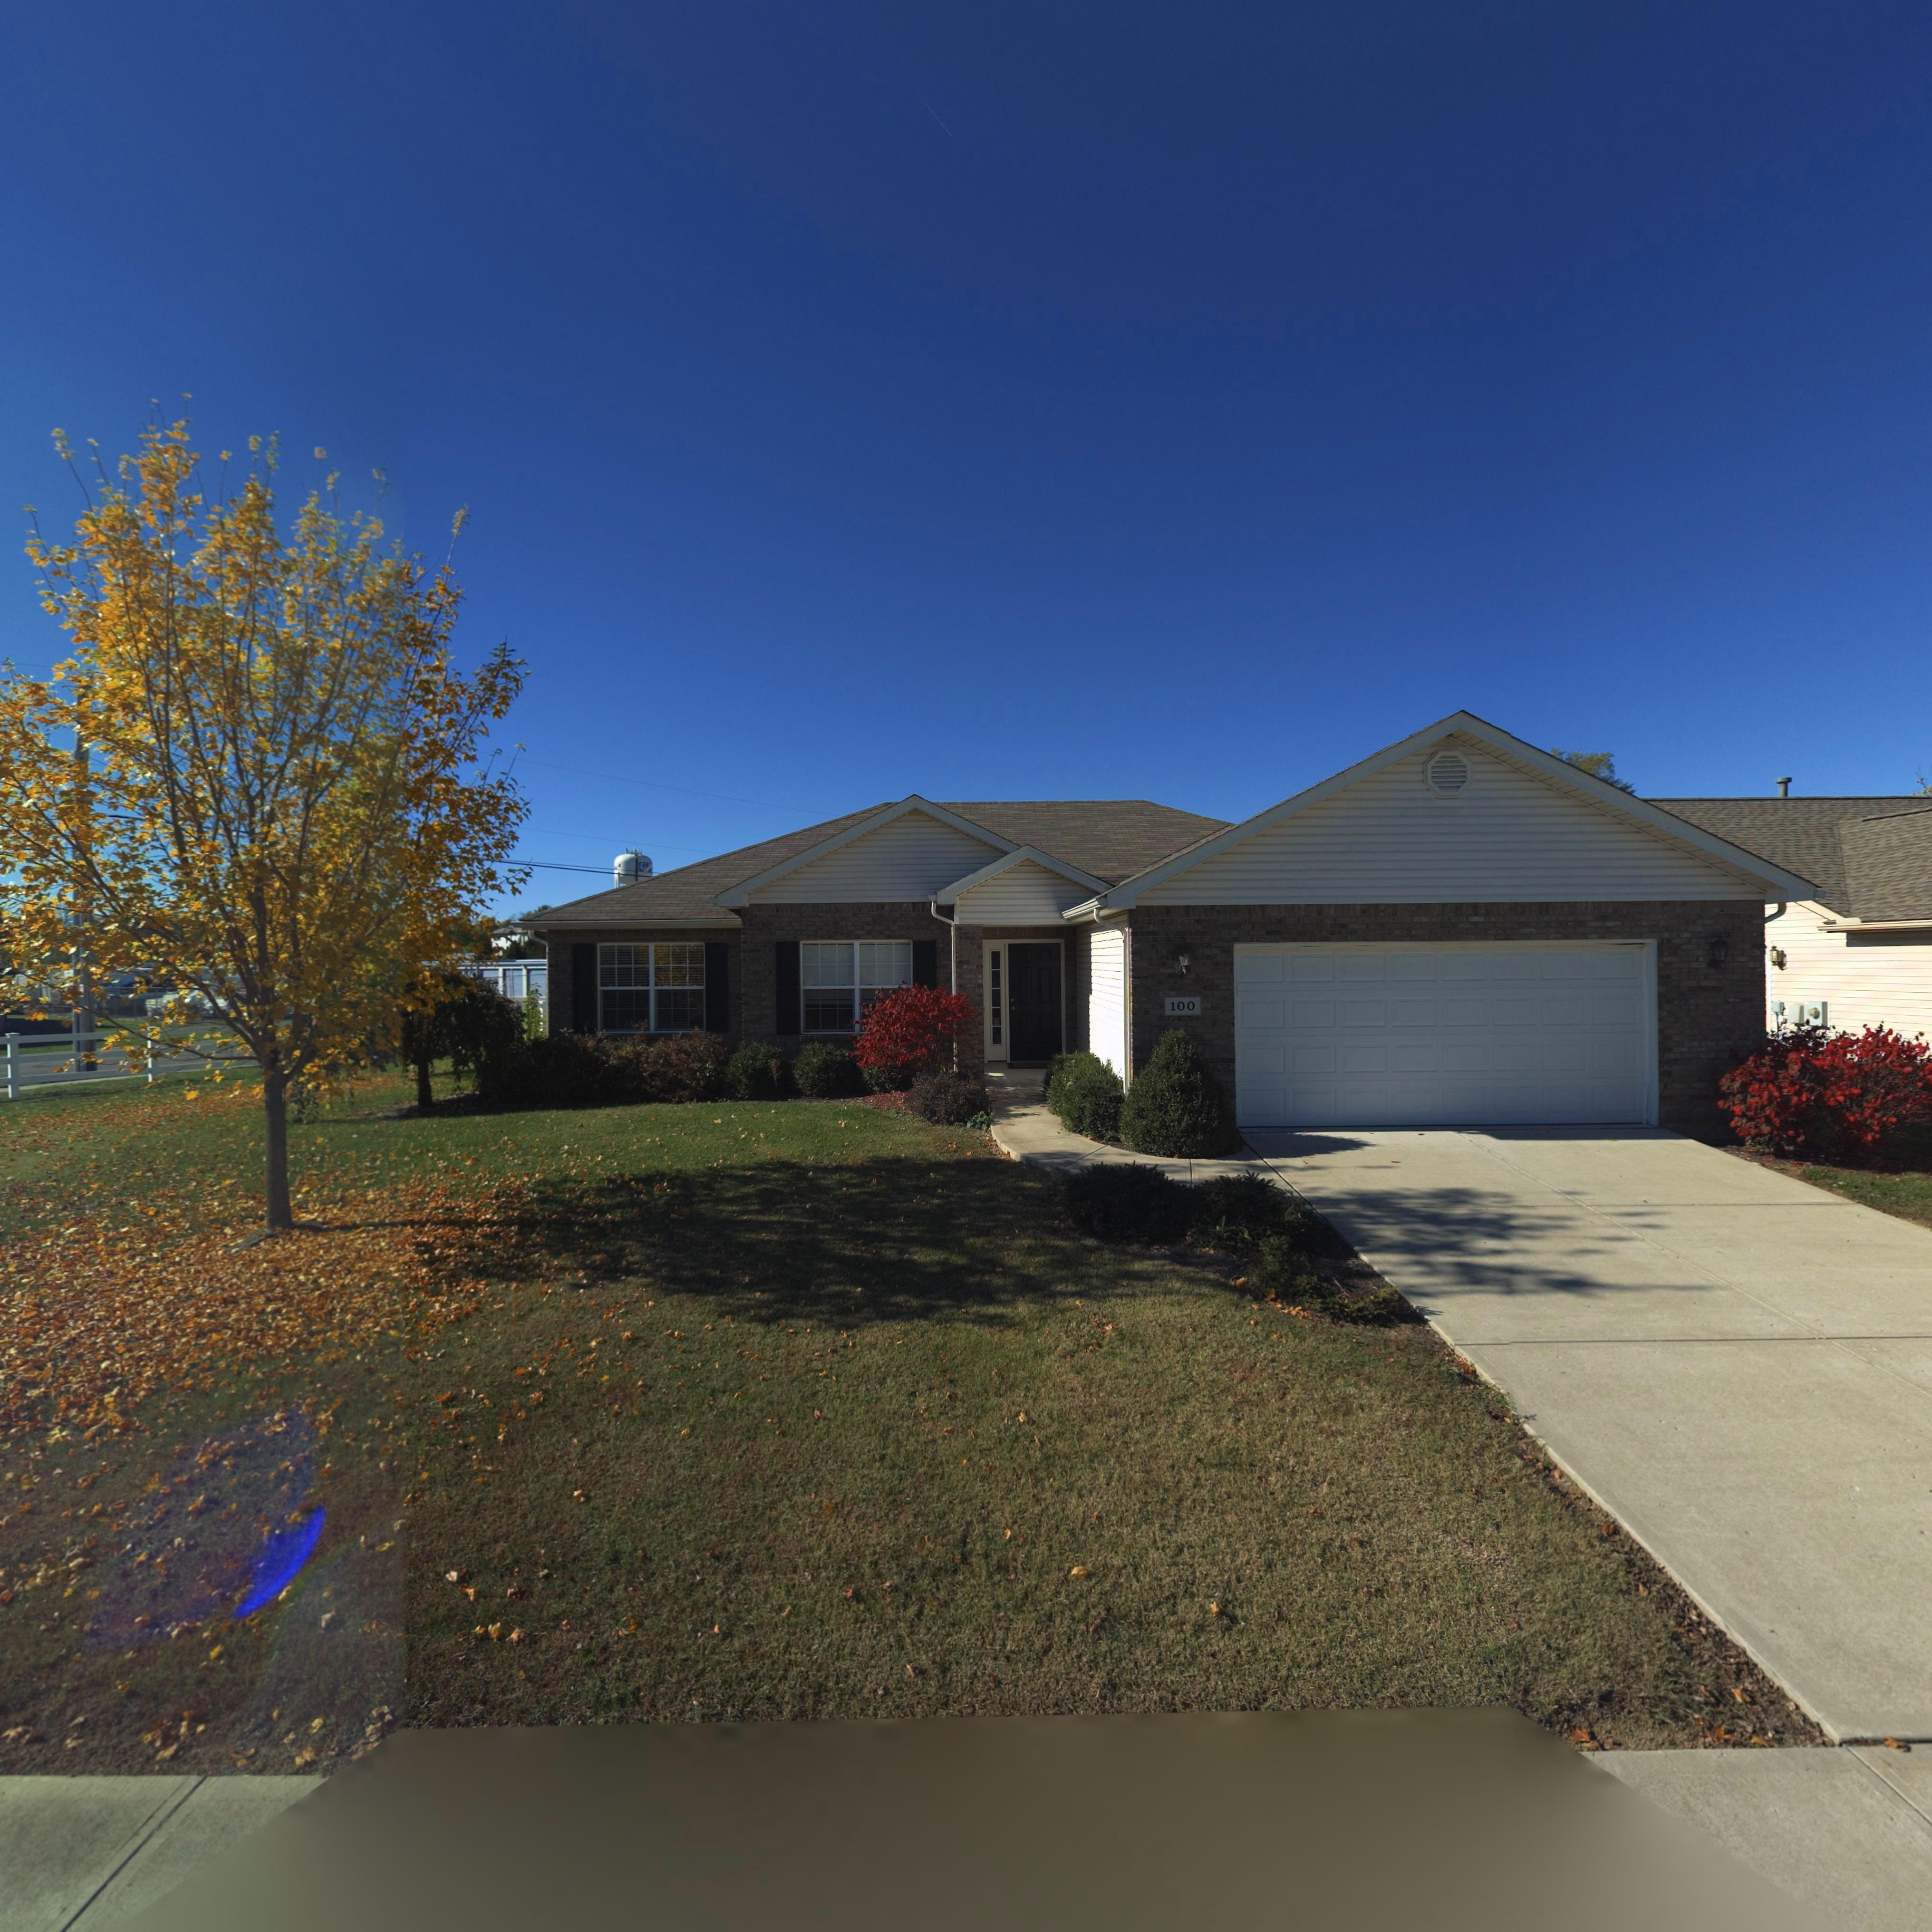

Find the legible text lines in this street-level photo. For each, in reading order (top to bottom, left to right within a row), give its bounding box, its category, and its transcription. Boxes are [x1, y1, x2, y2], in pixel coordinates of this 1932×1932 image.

[1169, 1000, 1196, 1012] StreetNumber: 100